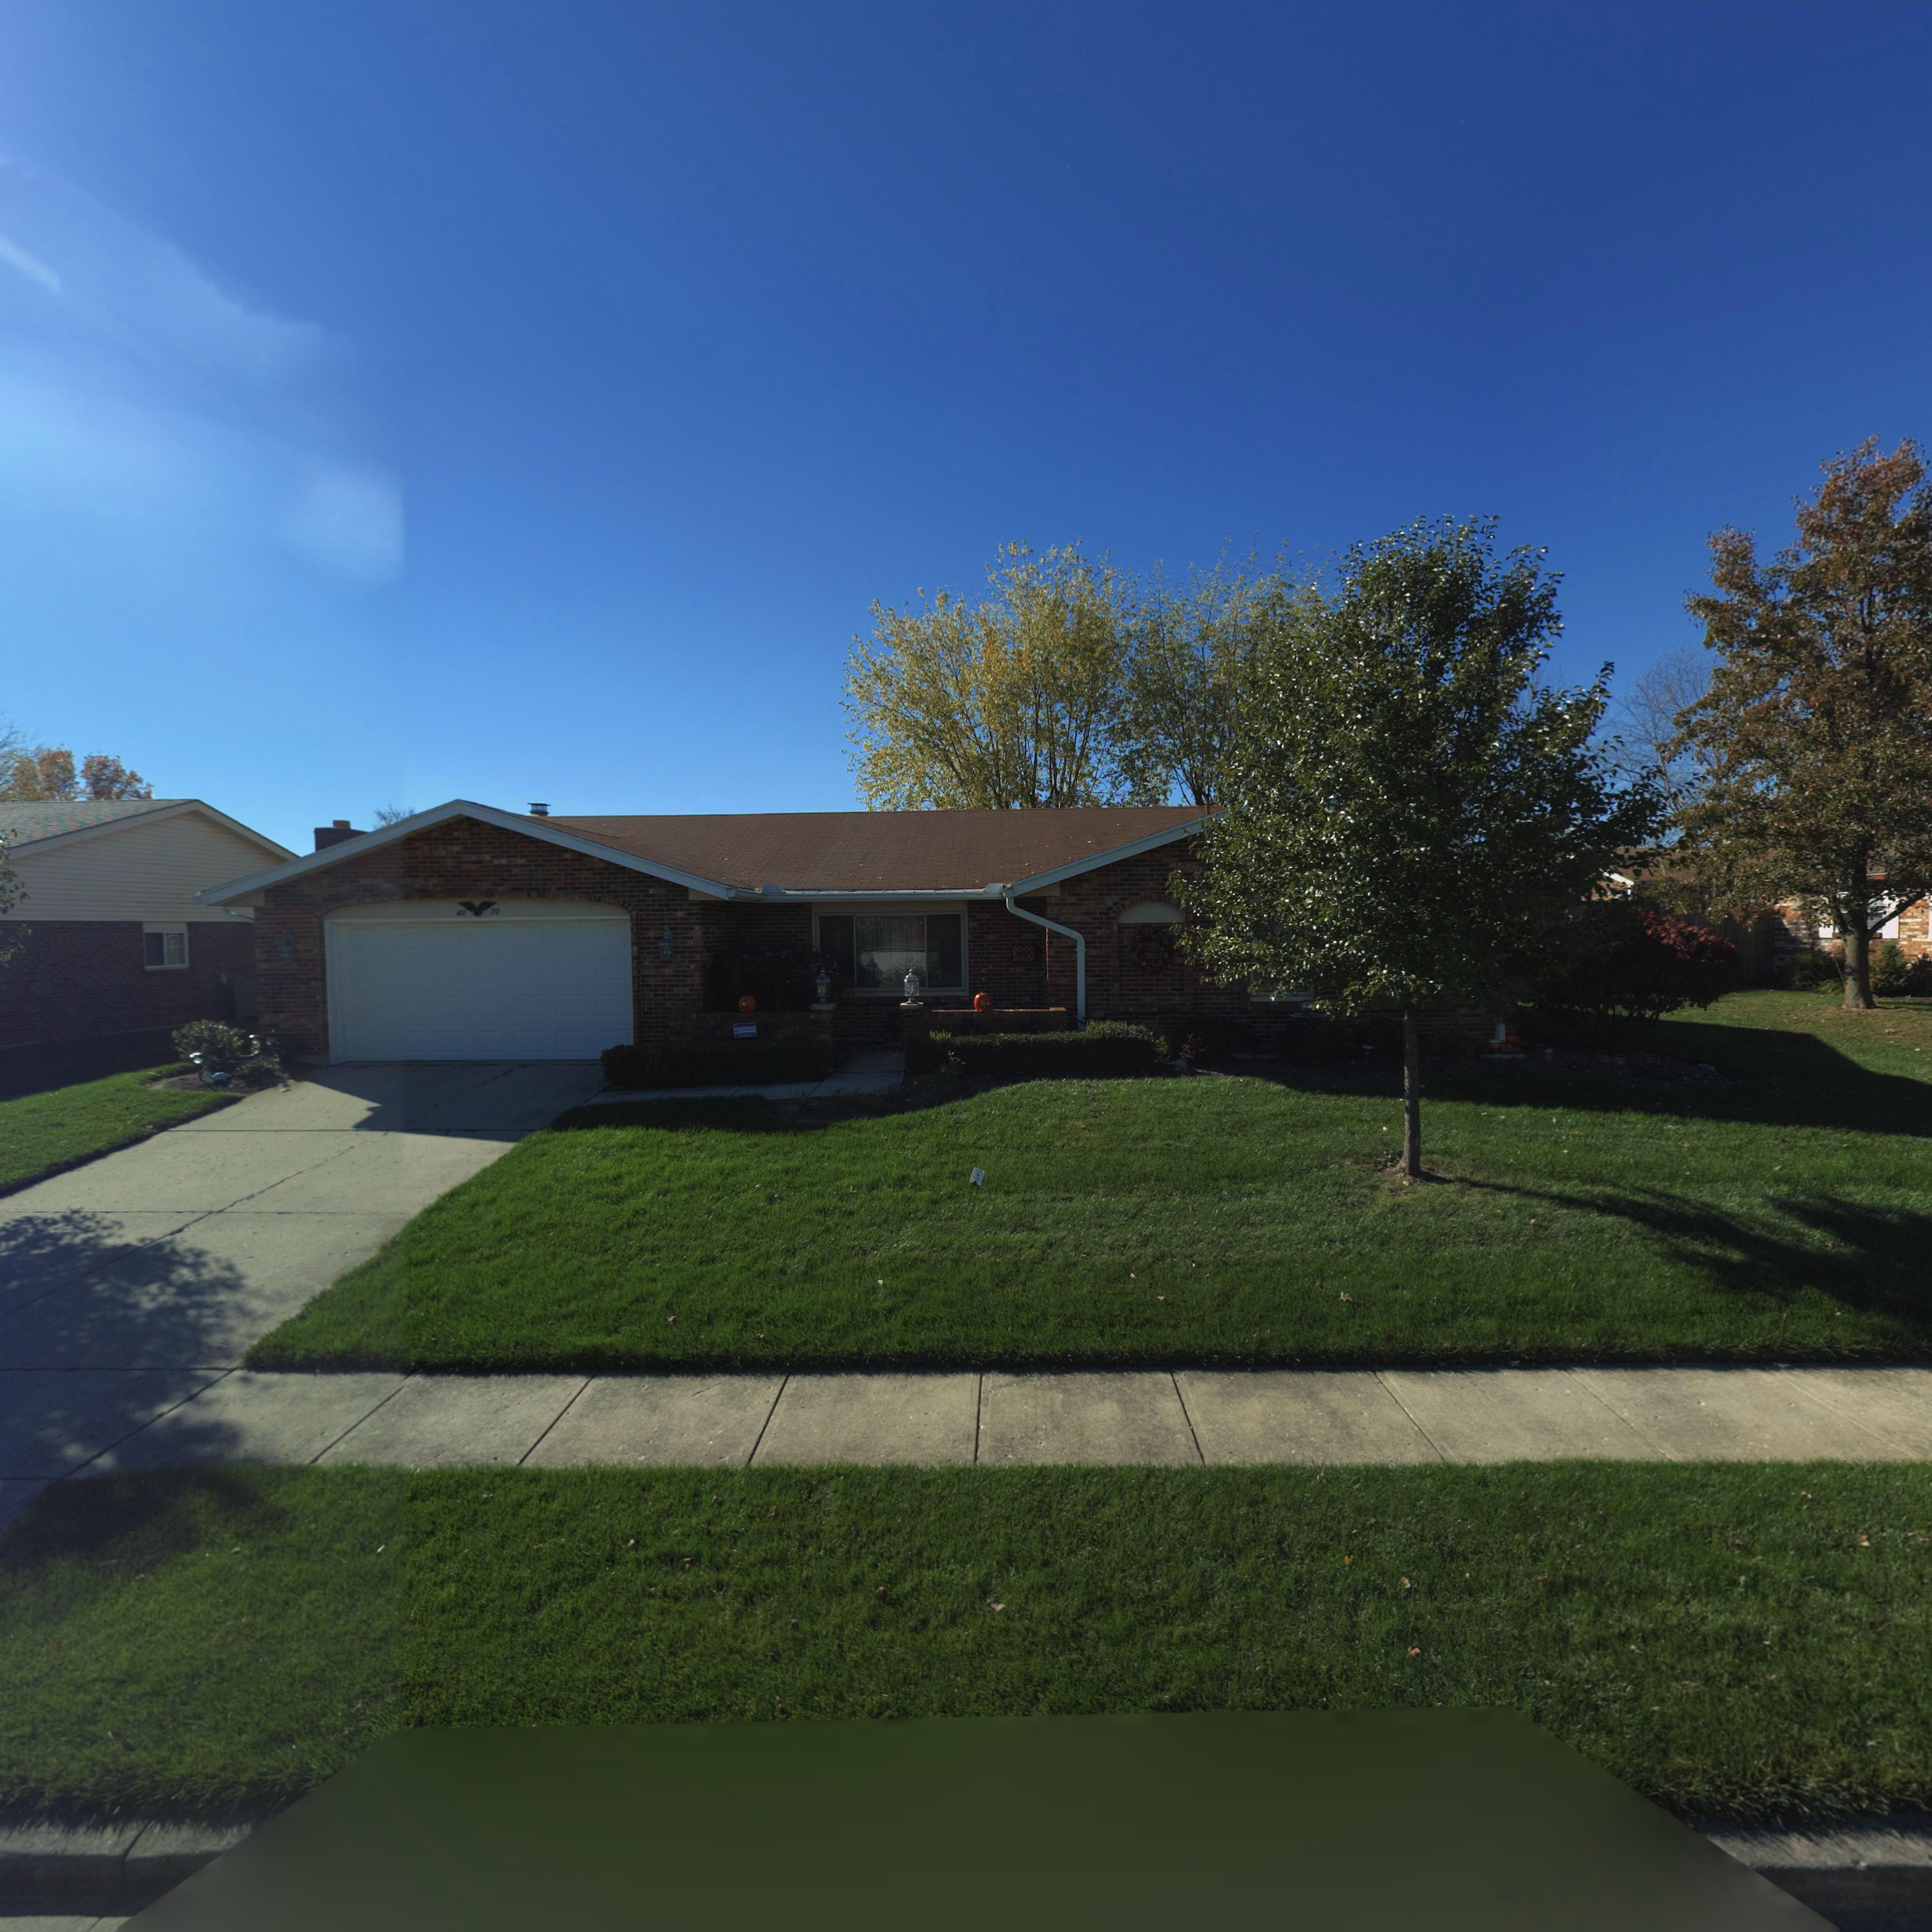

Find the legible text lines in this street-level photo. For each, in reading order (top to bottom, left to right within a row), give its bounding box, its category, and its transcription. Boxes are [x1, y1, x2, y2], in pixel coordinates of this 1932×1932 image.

[455, 908, 501, 917] StreetNumber: 4370